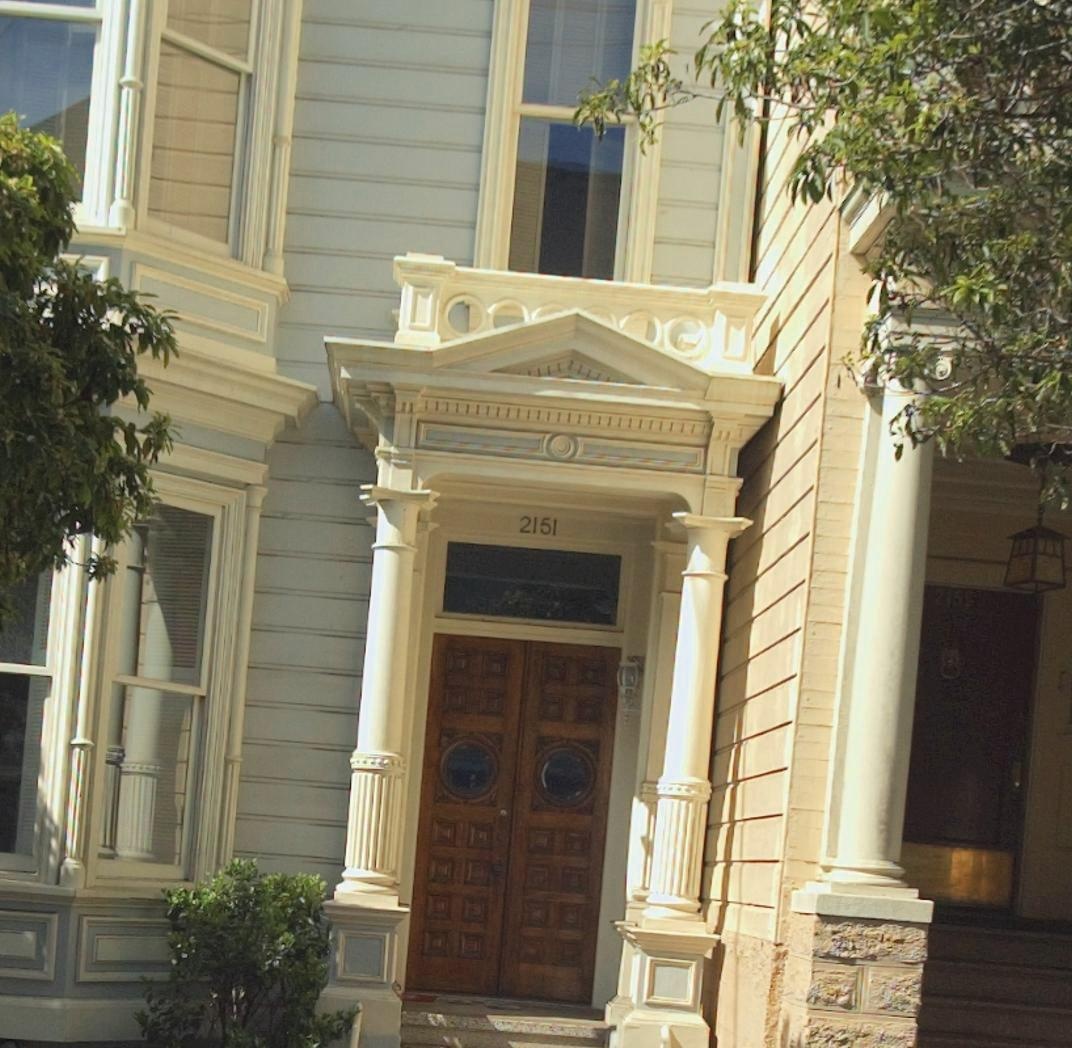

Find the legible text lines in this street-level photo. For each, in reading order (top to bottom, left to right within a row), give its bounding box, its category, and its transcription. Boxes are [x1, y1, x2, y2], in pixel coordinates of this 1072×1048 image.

[517, 514, 560, 538] StreetNumber: 2151
[932, 586, 965, 609] StreetNumber: 215